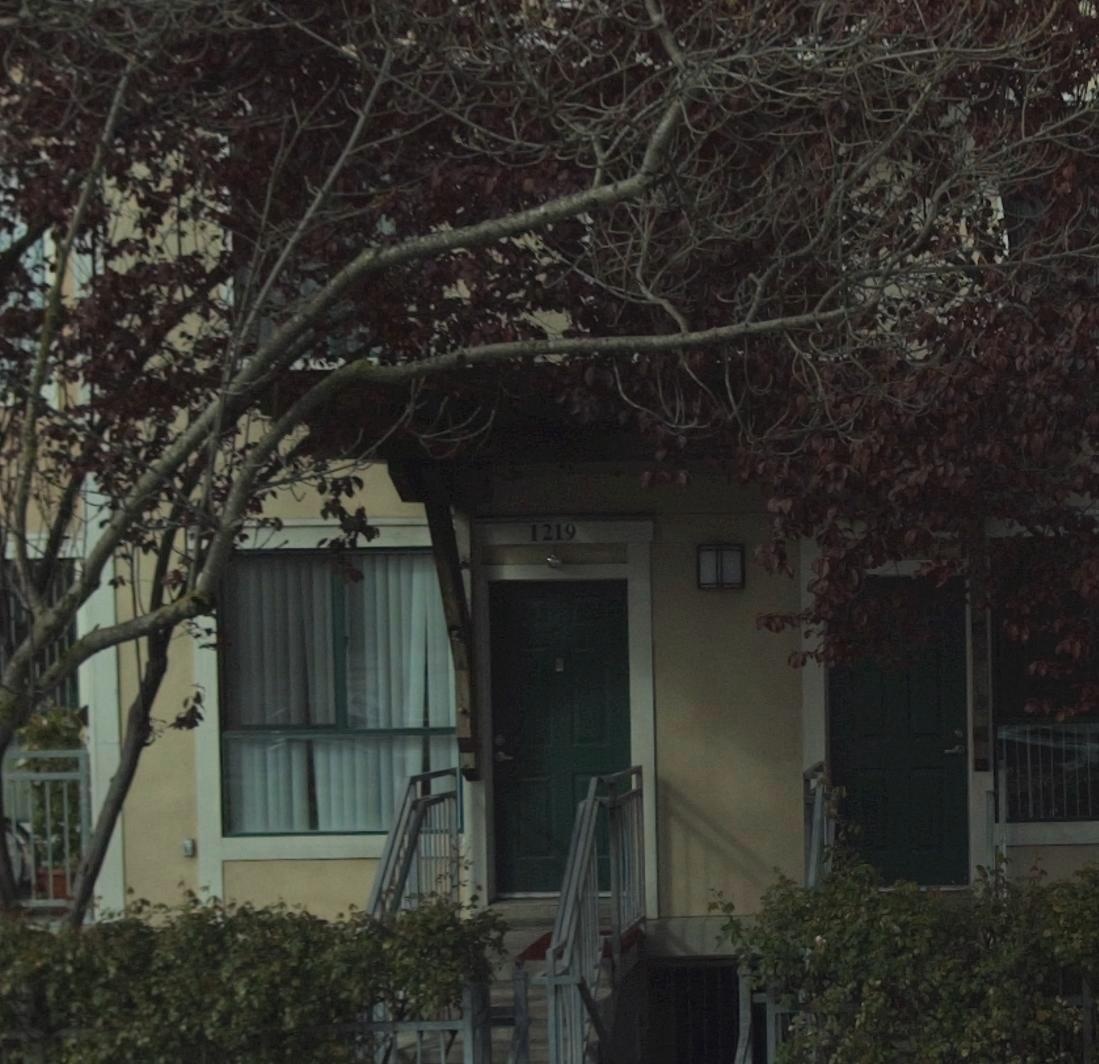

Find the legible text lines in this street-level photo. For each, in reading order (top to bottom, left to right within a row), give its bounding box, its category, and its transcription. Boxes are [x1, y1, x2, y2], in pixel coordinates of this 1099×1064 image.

[528, 521, 578, 543] StreetNumber: 1219